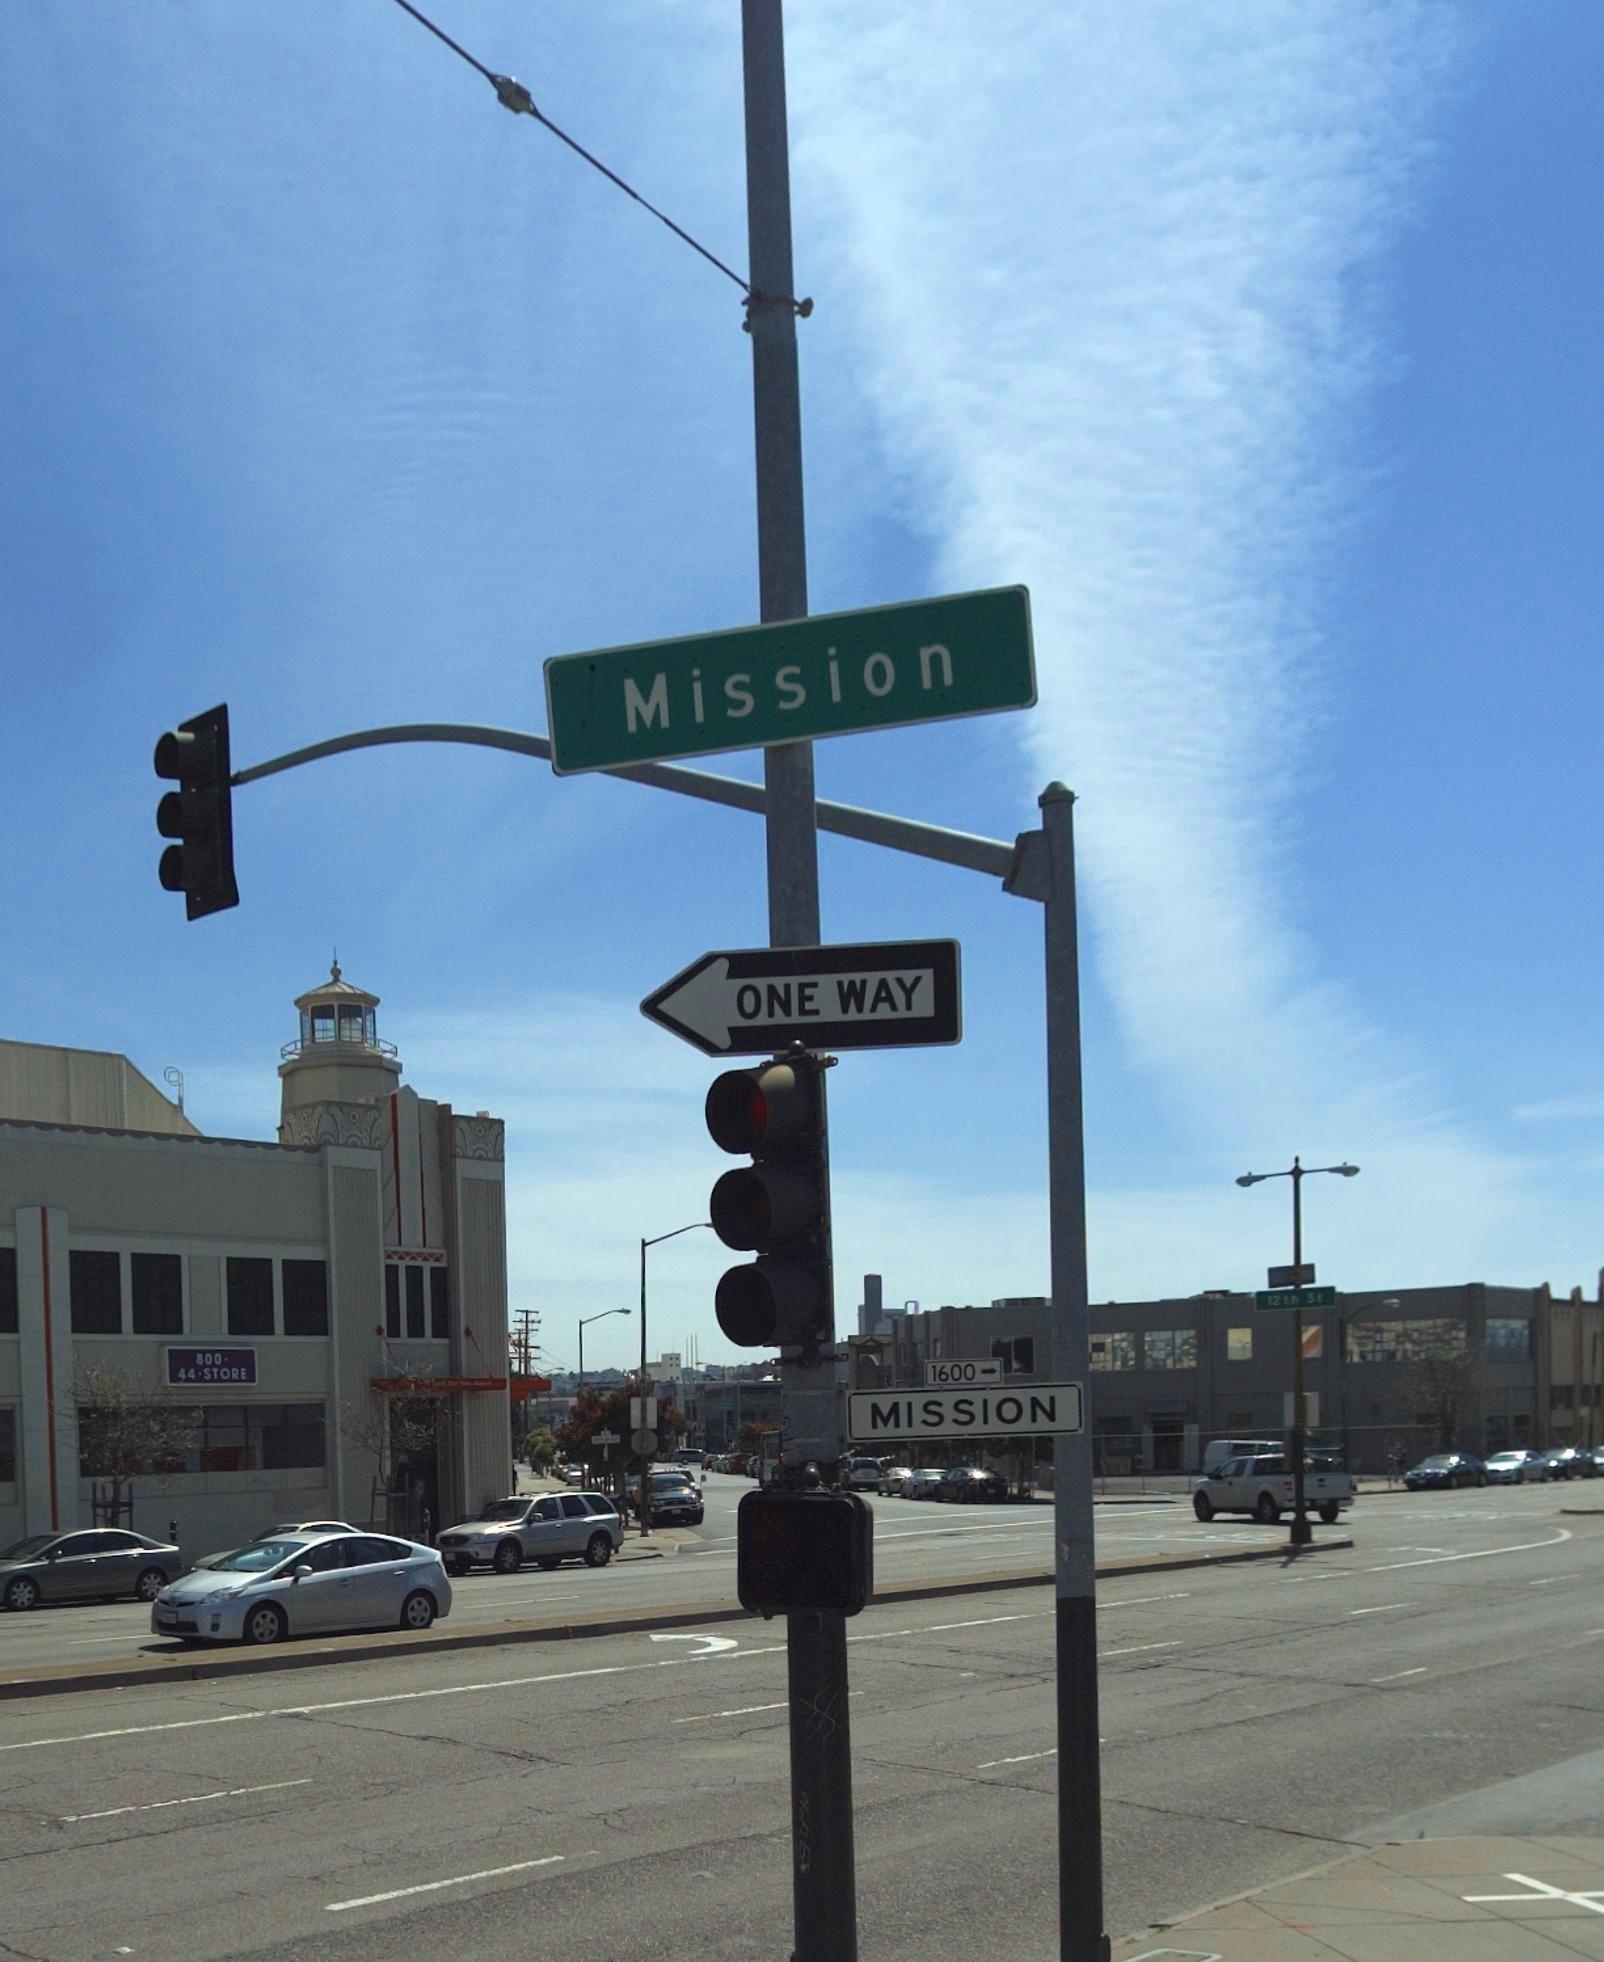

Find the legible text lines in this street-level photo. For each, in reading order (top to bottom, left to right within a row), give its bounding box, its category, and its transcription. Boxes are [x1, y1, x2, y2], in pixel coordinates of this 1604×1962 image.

[618, 625, 960, 739] StreetName: Mission
[735, 974, 925, 1020] None: ONE WAY
[1265, 1291, 1323, 1307] None: 12th St
[194, 1353, 229, 1365] None: 800-
[176, 1367, 247, 1380] None: 44-STORE
[931, 1362, 999, 1383] None: 1600->
[867, 1393, 1059, 1431] StreetName: MISSION